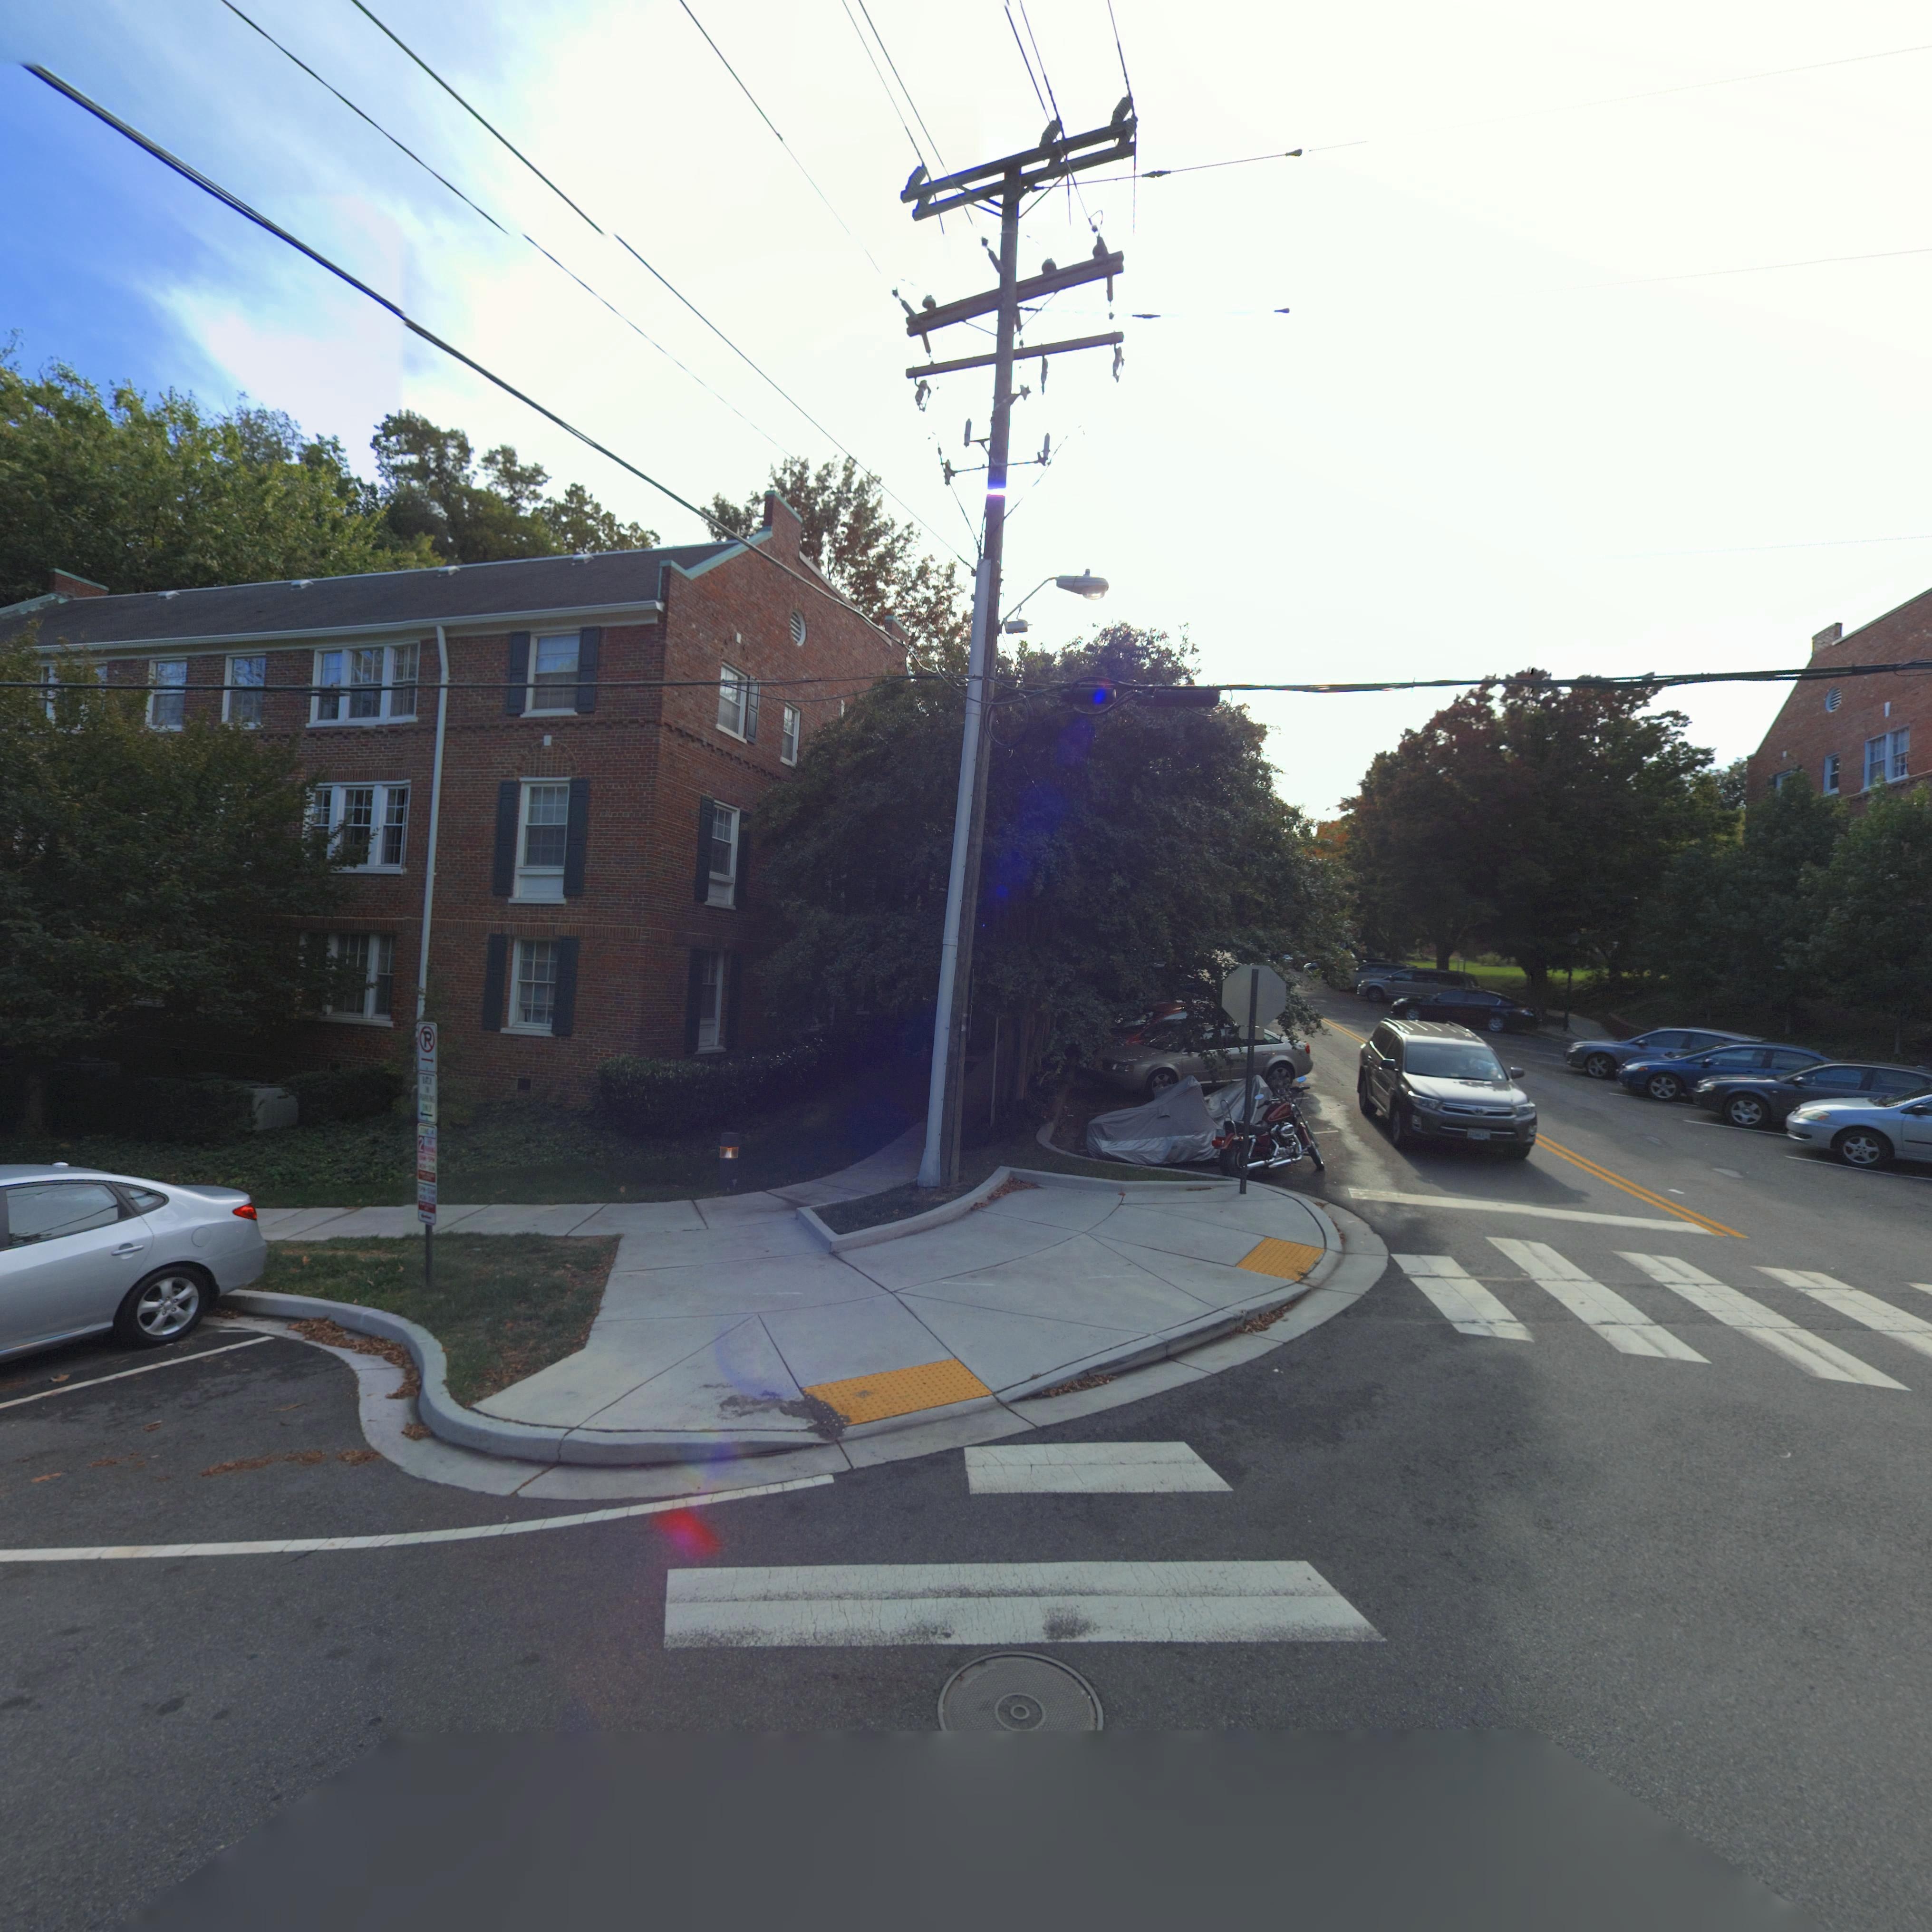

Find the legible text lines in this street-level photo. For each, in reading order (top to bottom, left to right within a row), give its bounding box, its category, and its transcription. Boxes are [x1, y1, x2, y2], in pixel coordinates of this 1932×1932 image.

[417, 1135, 425, 1154] None: 2